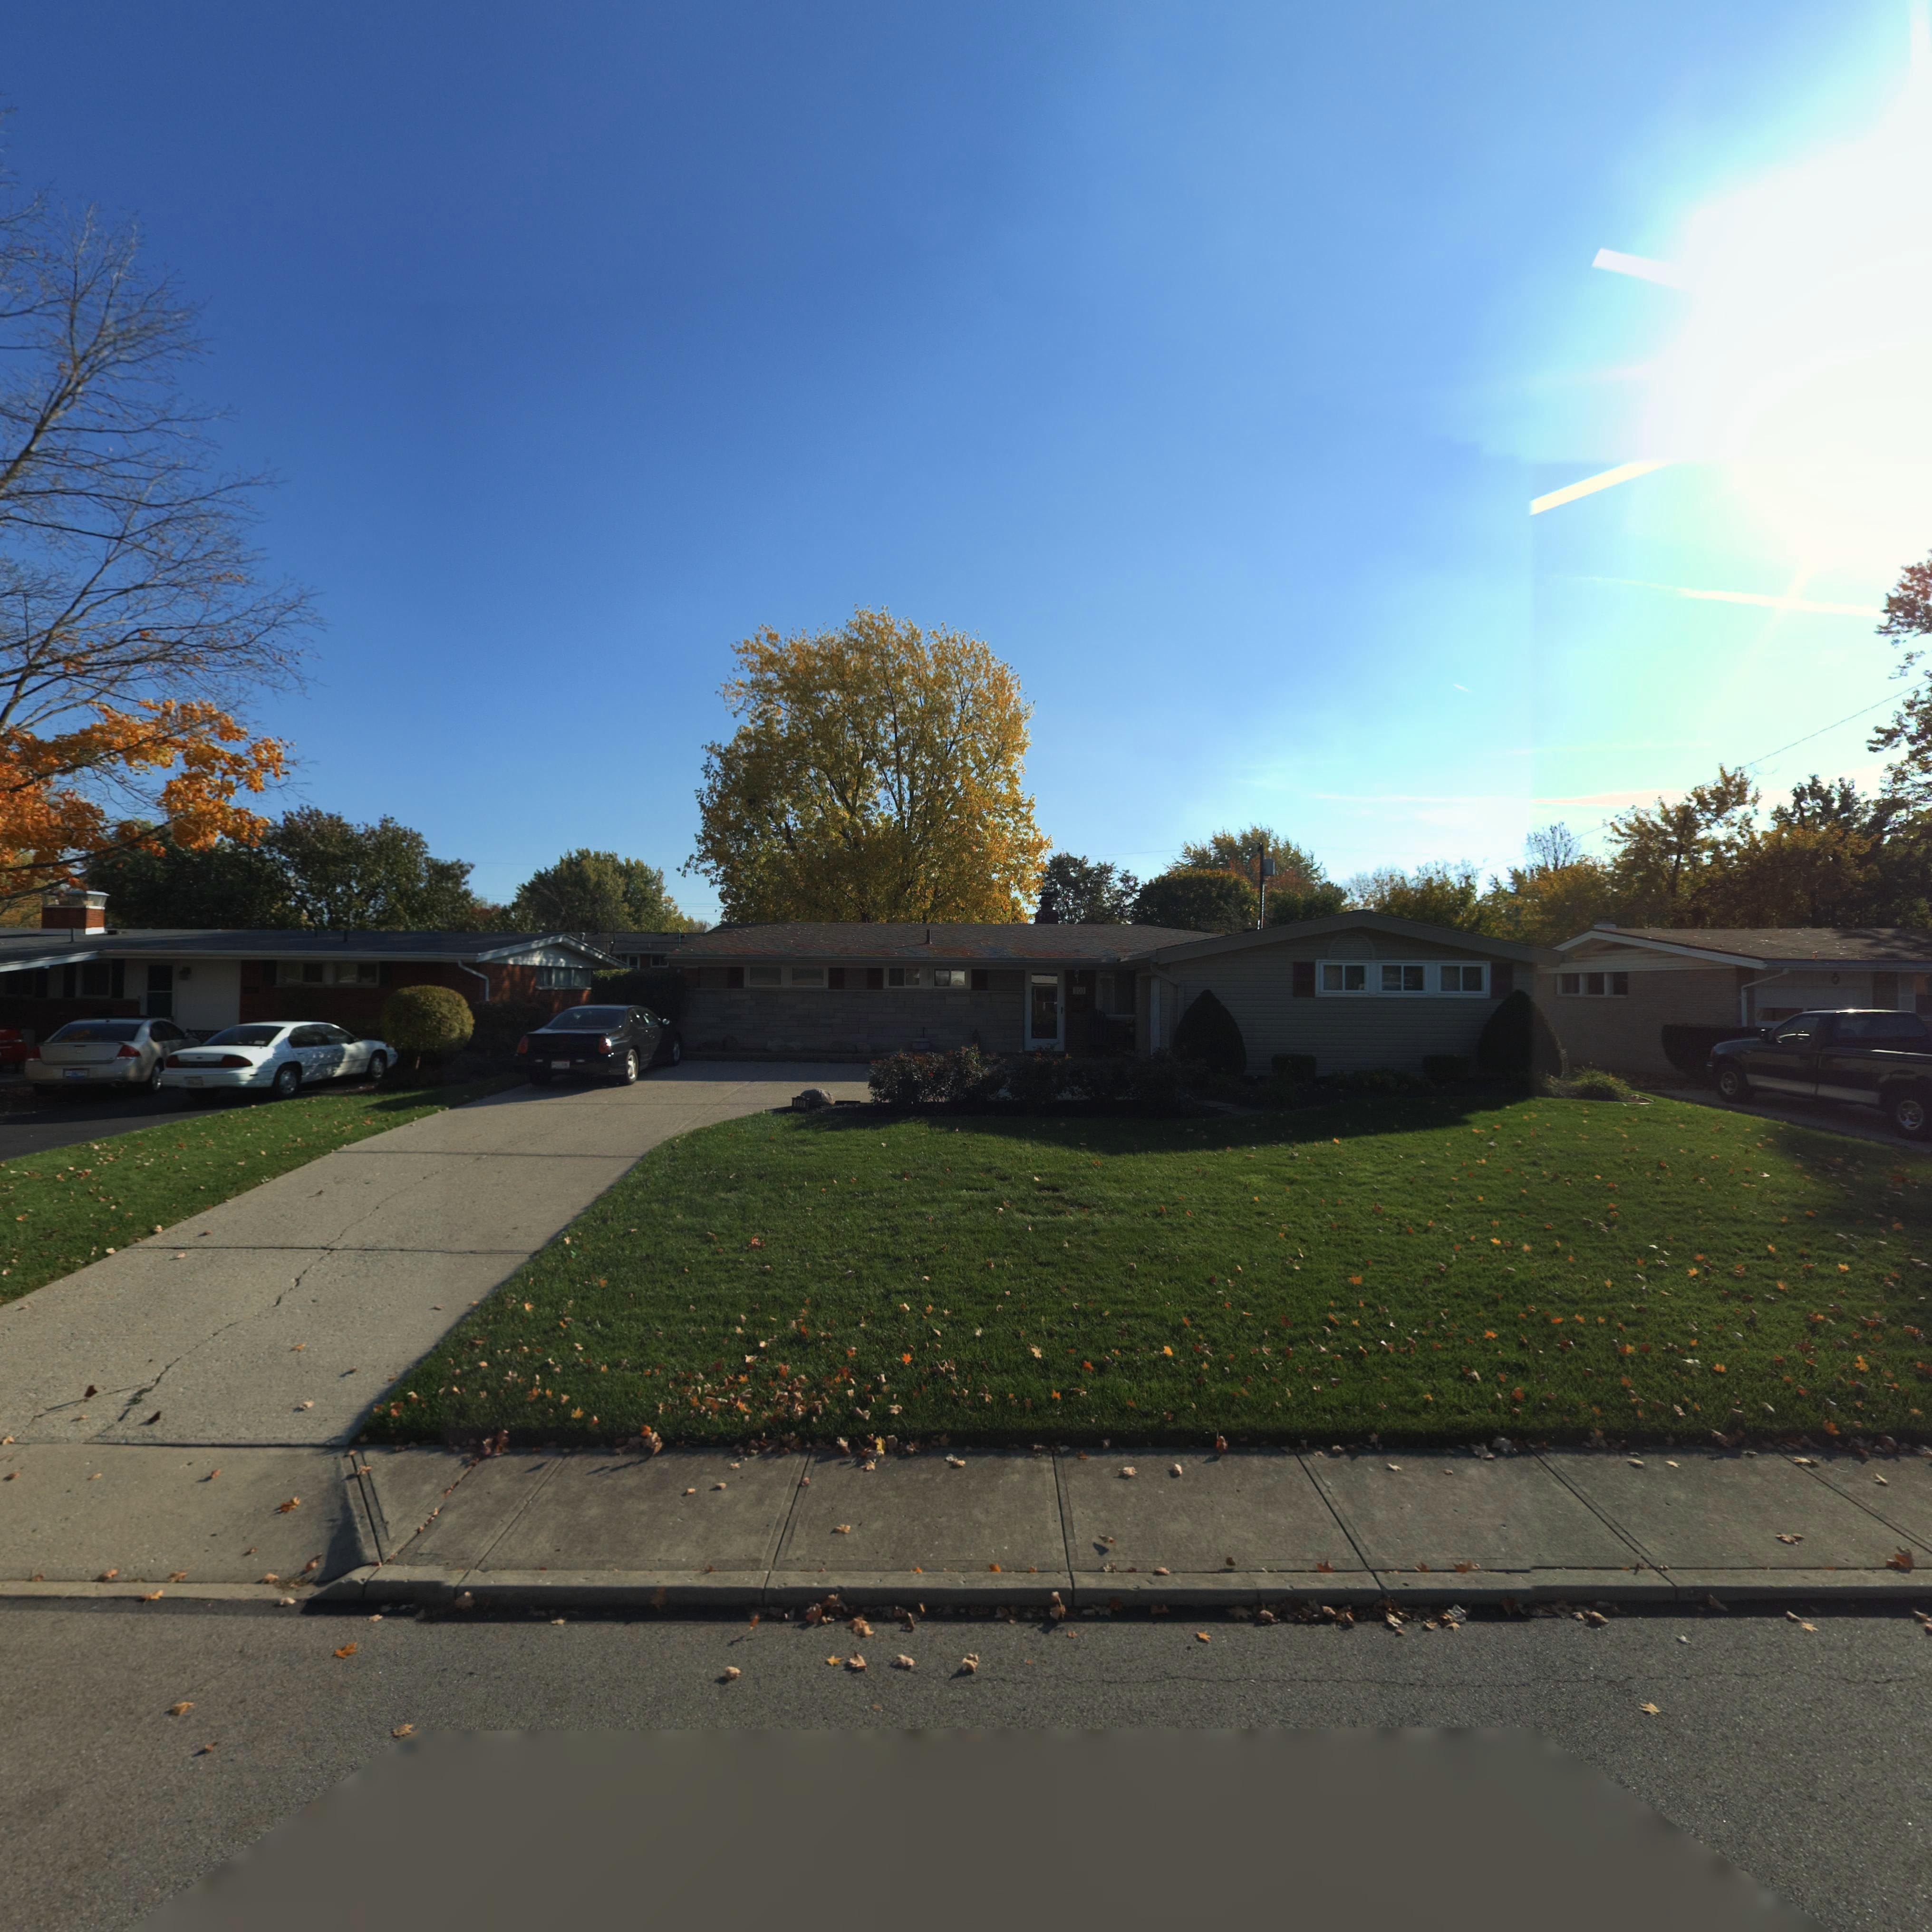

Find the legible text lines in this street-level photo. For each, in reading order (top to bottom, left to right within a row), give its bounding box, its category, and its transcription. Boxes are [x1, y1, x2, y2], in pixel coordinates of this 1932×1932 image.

[1073, 987, 1085, 995] StreetNumber: 800
[794, 1100, 805, 1108] StreetNumber: *00